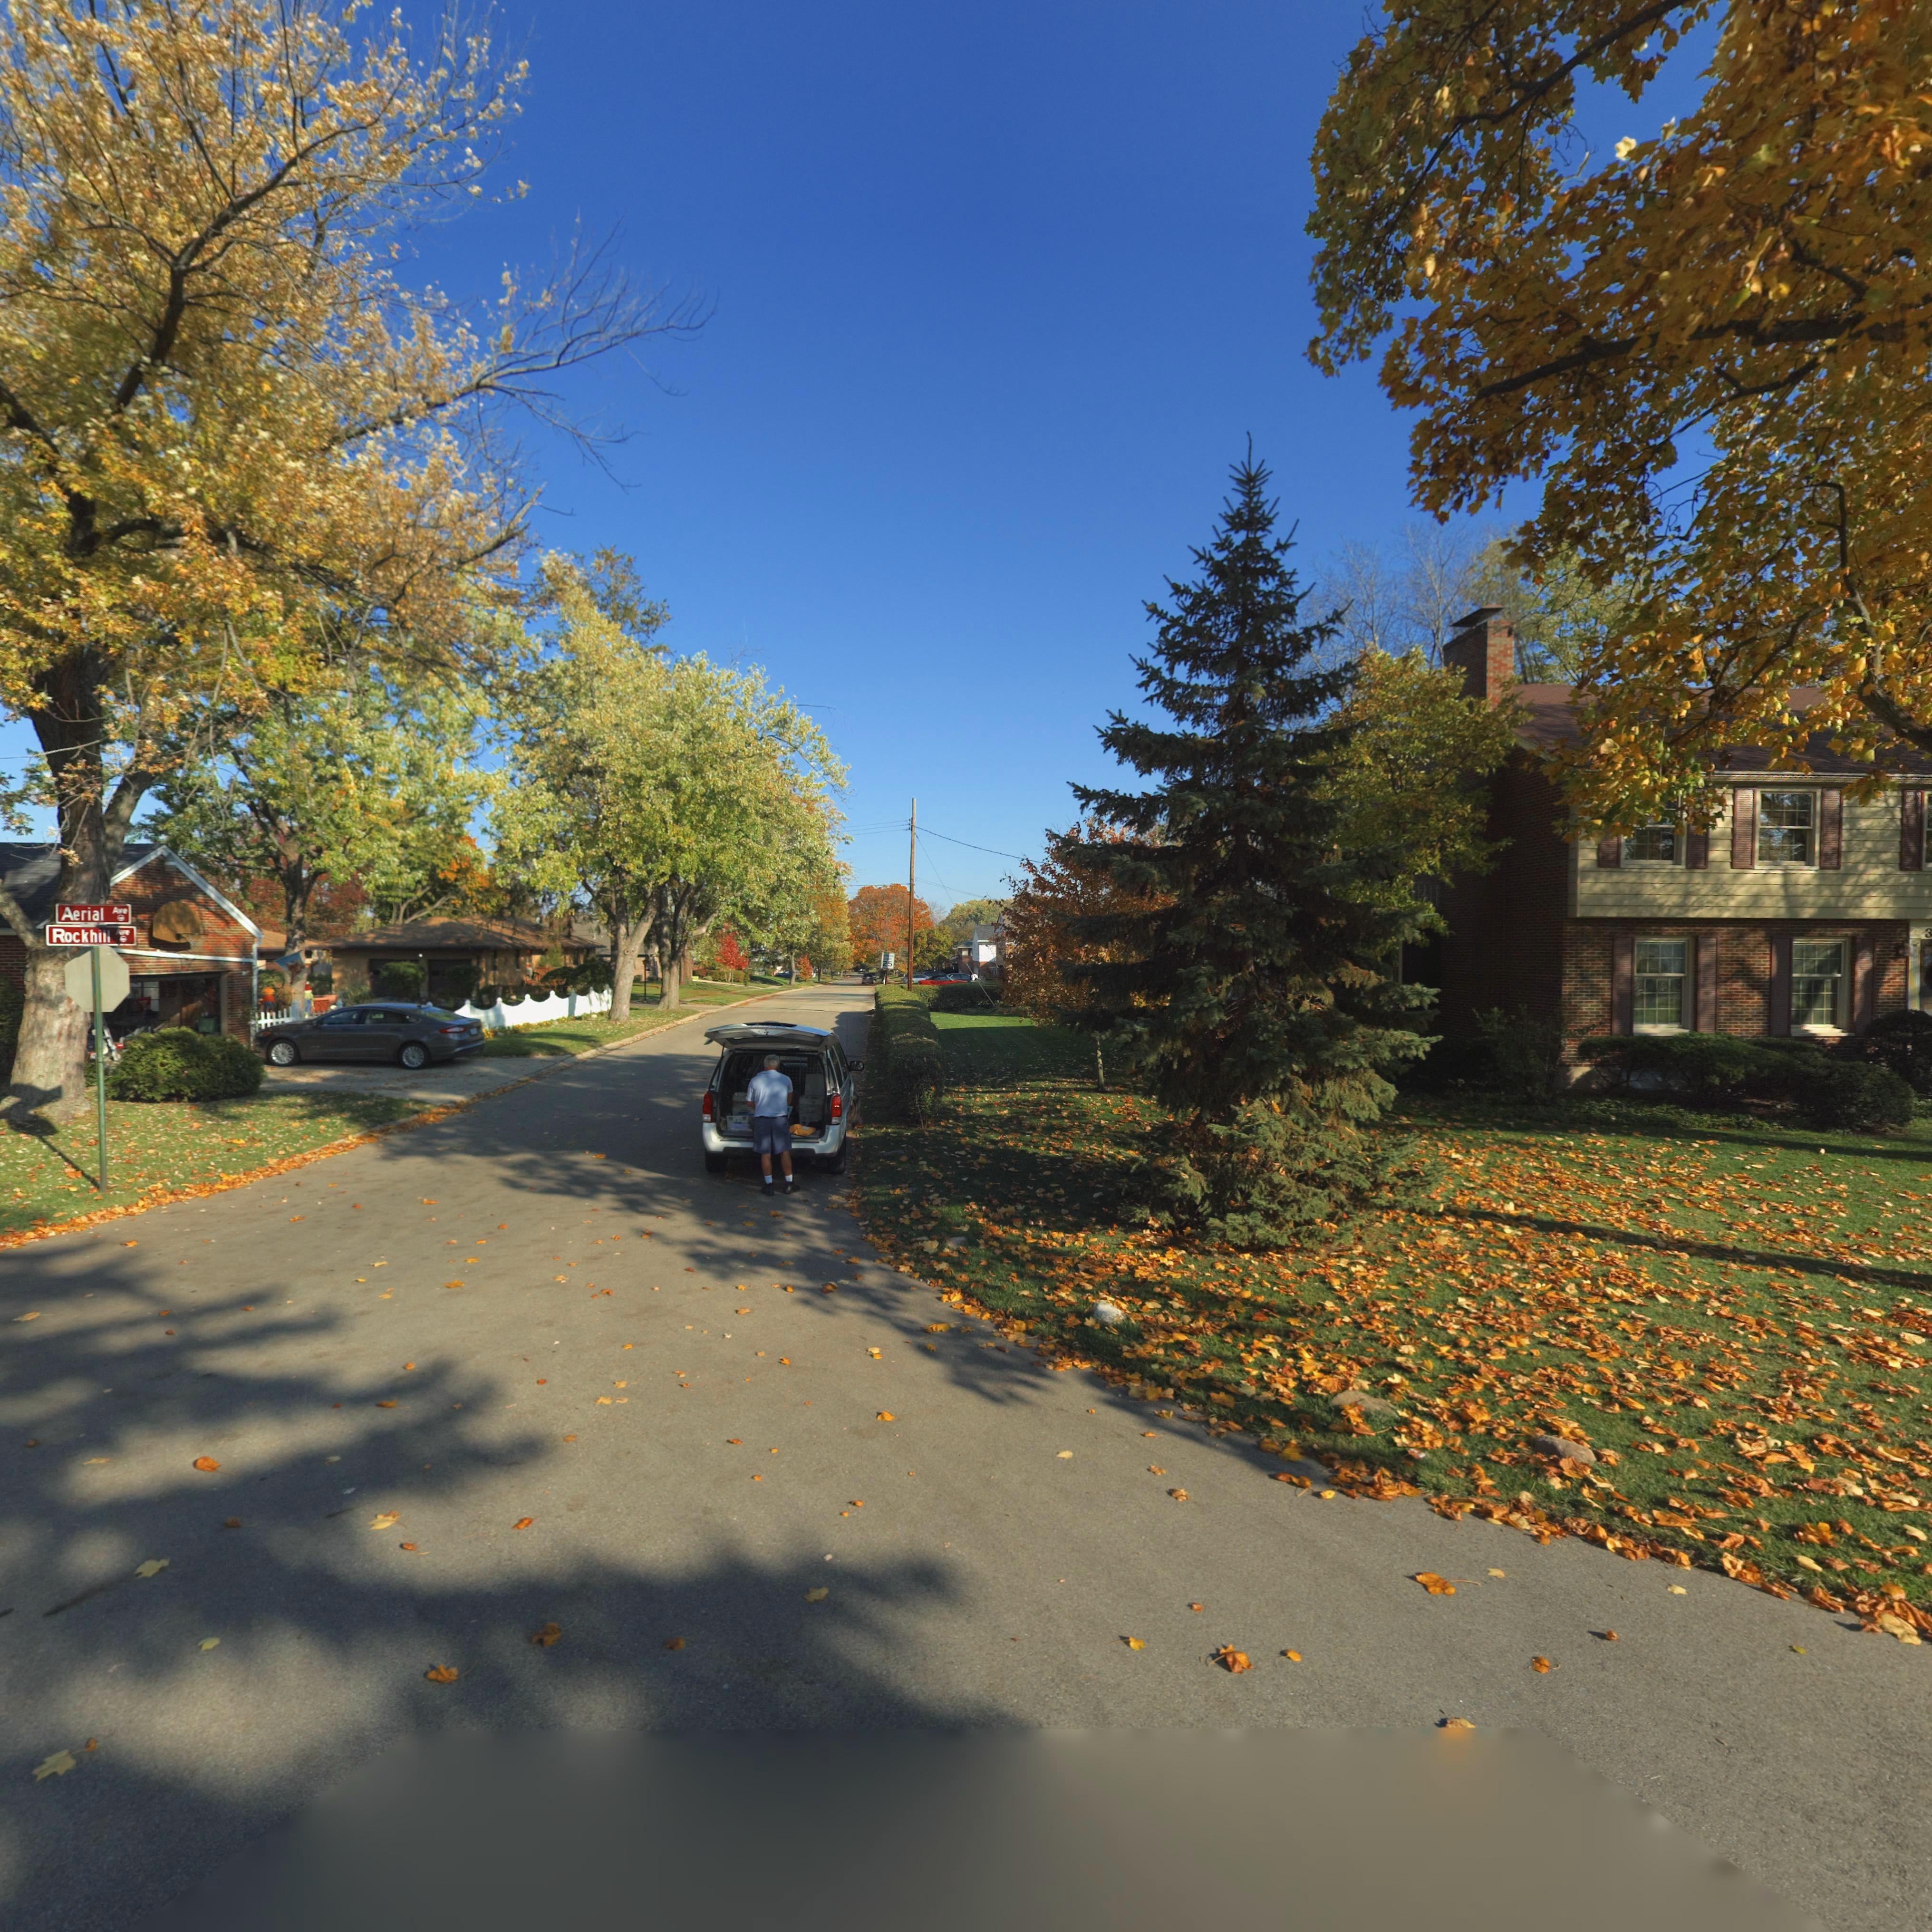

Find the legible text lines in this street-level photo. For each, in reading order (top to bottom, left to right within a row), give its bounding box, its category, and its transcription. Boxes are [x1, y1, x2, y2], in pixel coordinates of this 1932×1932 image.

[1924, 928, 1932, 938] StreetNumber: 3